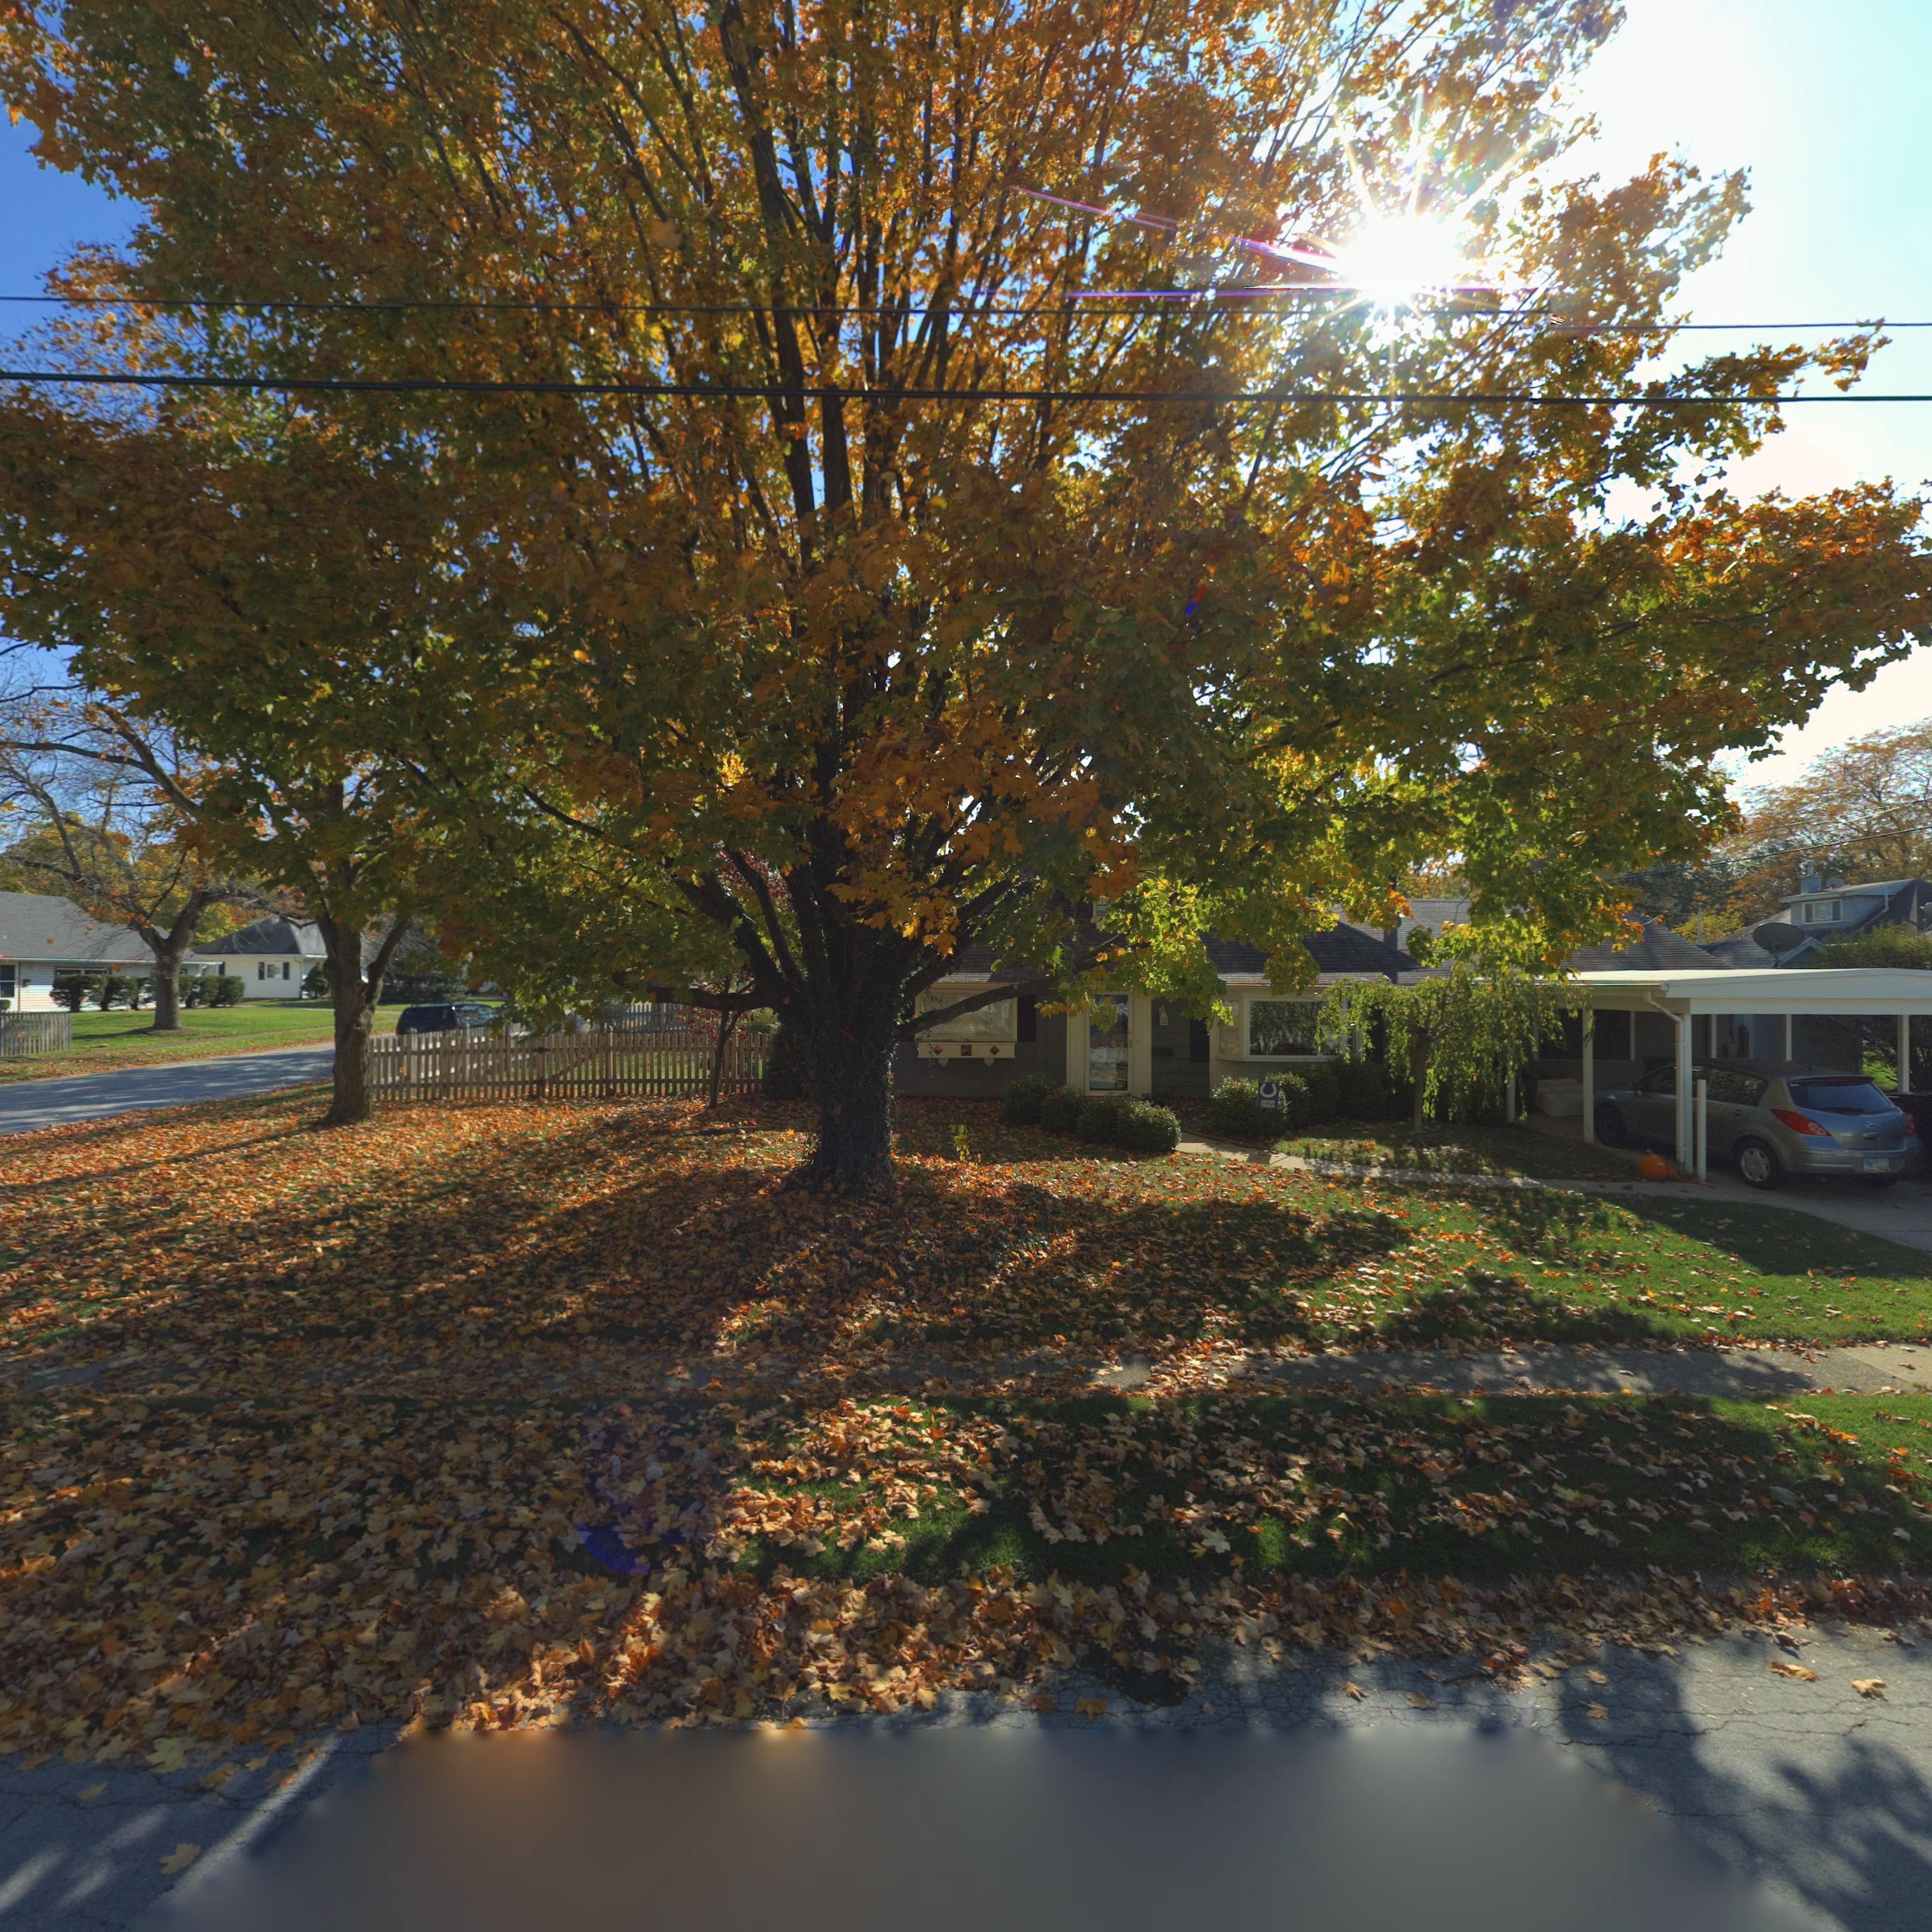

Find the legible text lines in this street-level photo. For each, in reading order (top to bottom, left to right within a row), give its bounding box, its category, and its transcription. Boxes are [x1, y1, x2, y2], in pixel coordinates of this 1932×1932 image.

[1156, 1034, 1170, 1042] StreetNumber: 910
[1260, 1099, 1275, 1109] None: COLTS